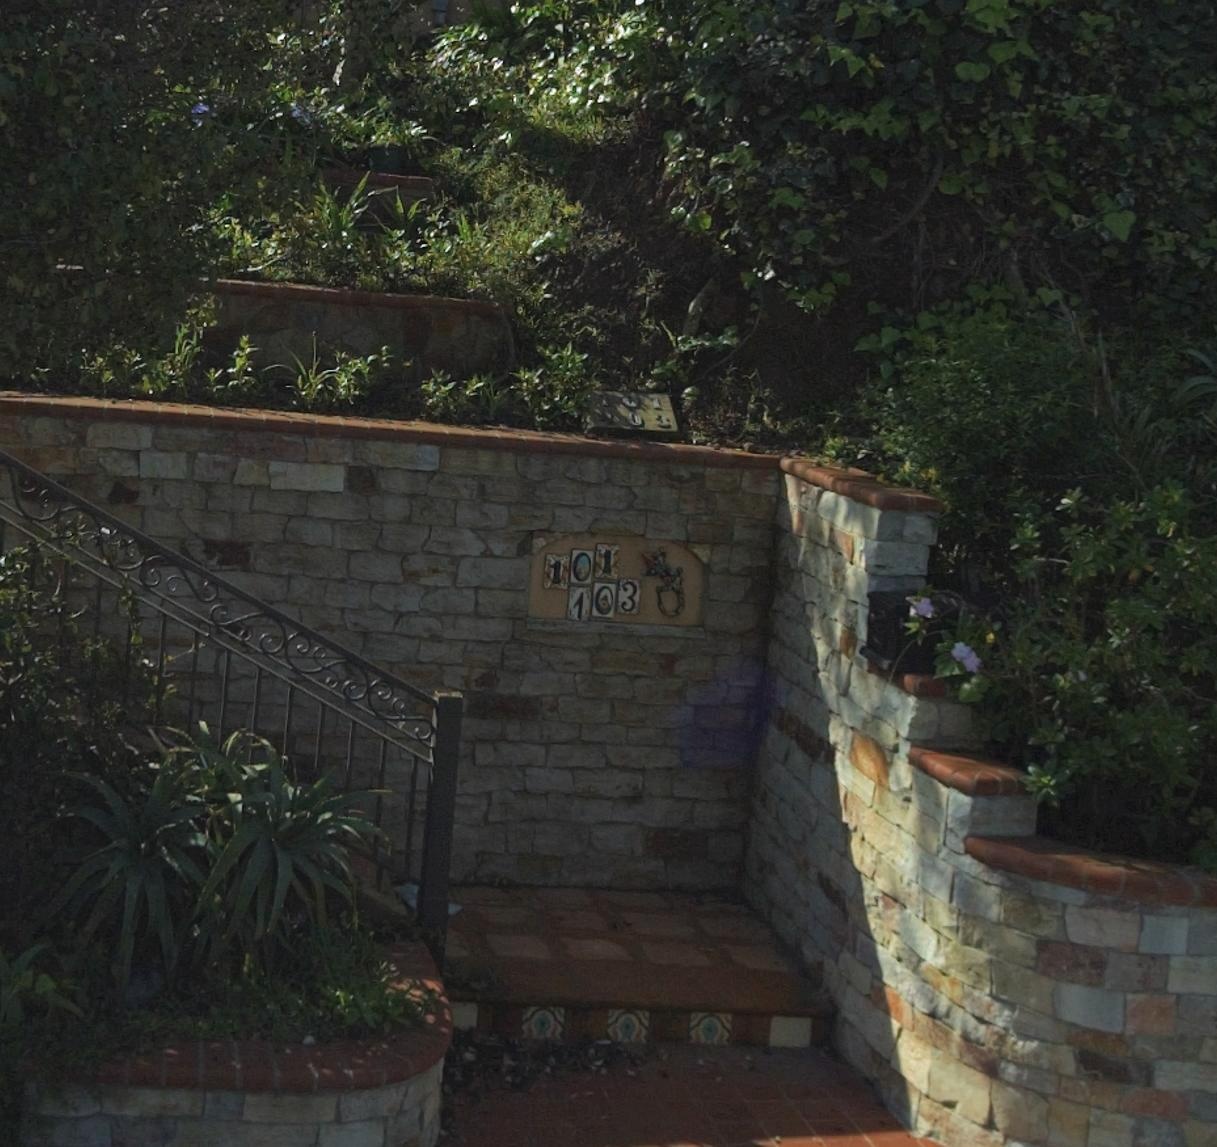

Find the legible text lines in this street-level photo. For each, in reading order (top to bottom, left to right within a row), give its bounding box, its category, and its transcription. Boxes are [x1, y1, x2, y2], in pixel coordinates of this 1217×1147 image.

[547, 546, 617, 589] StreetNumber: 101
[569, 578, 640, 625] StreetNumber: 103